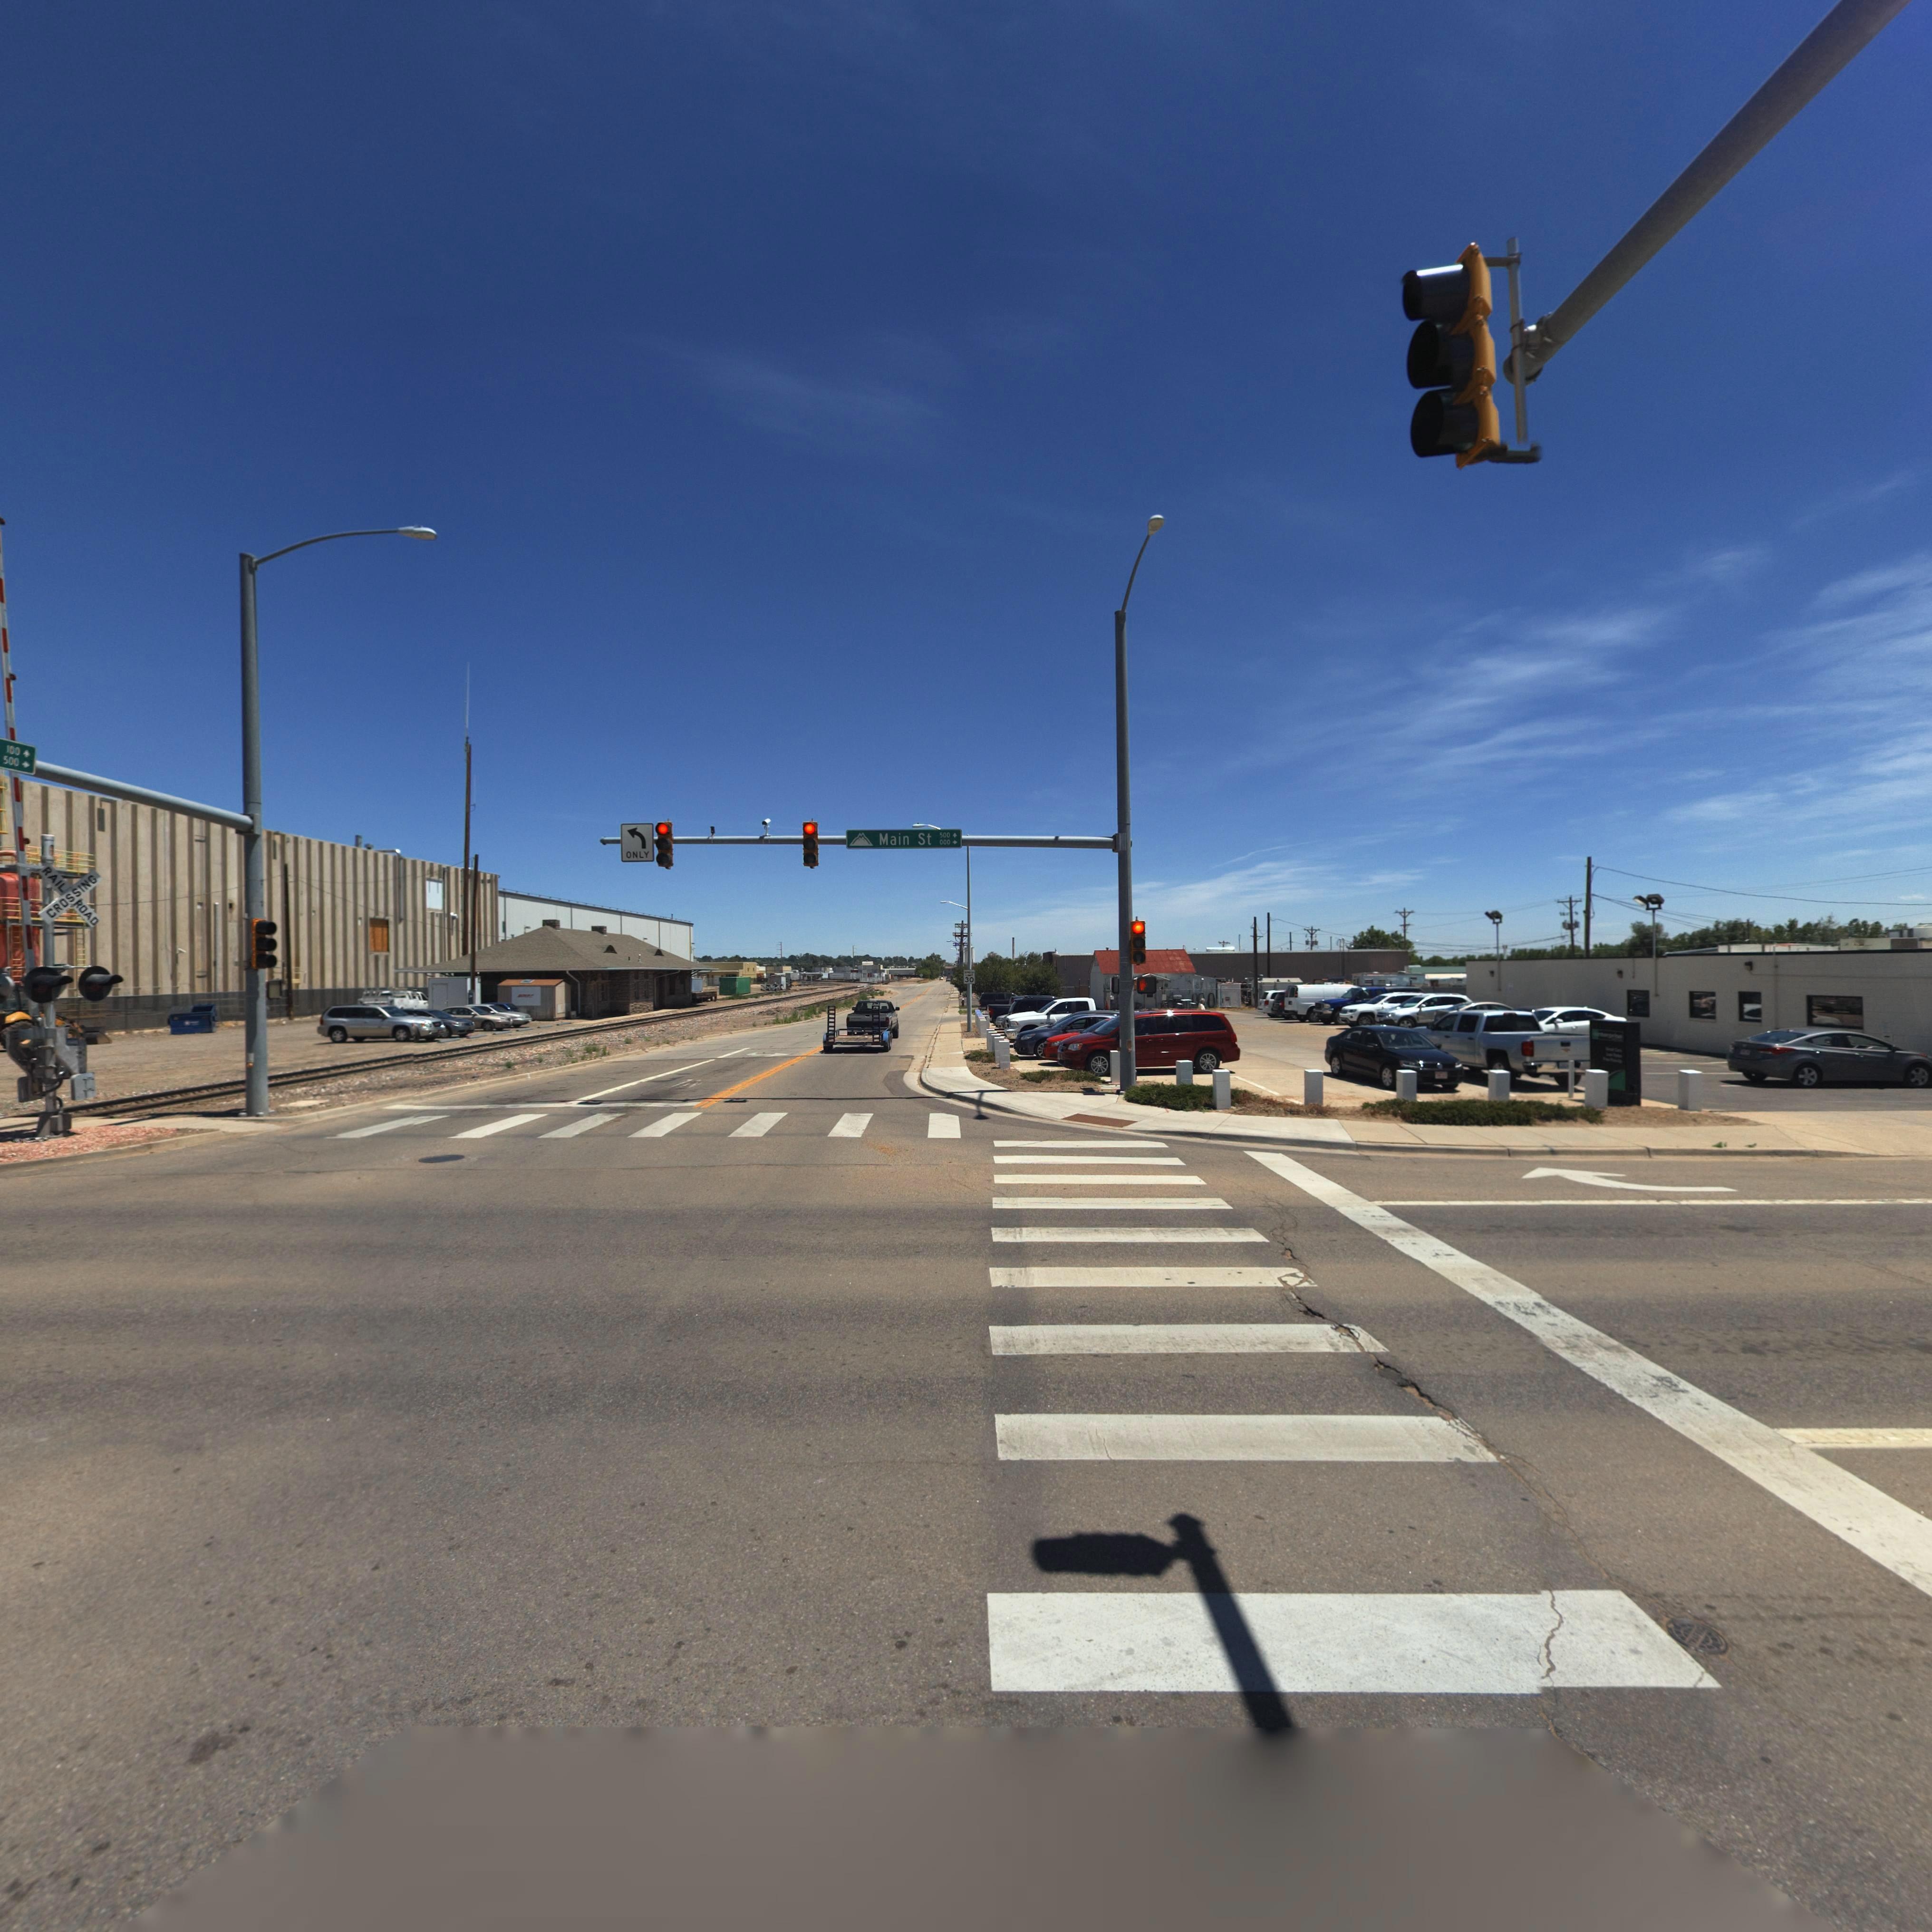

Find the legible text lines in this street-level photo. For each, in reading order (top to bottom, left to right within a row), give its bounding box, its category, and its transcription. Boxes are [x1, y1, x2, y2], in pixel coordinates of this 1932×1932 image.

[6, 744, 21, 756] StreetNumberRange: 100
[2, 755, 30, 770] StreetNumberRange: 500->
[879, 832, 932, 846] StreetName: Man SC
[939, 832, 950, 838] StreetNumberRange: 500
[938, 839, 957, 845] StreetNumberRange: 000->